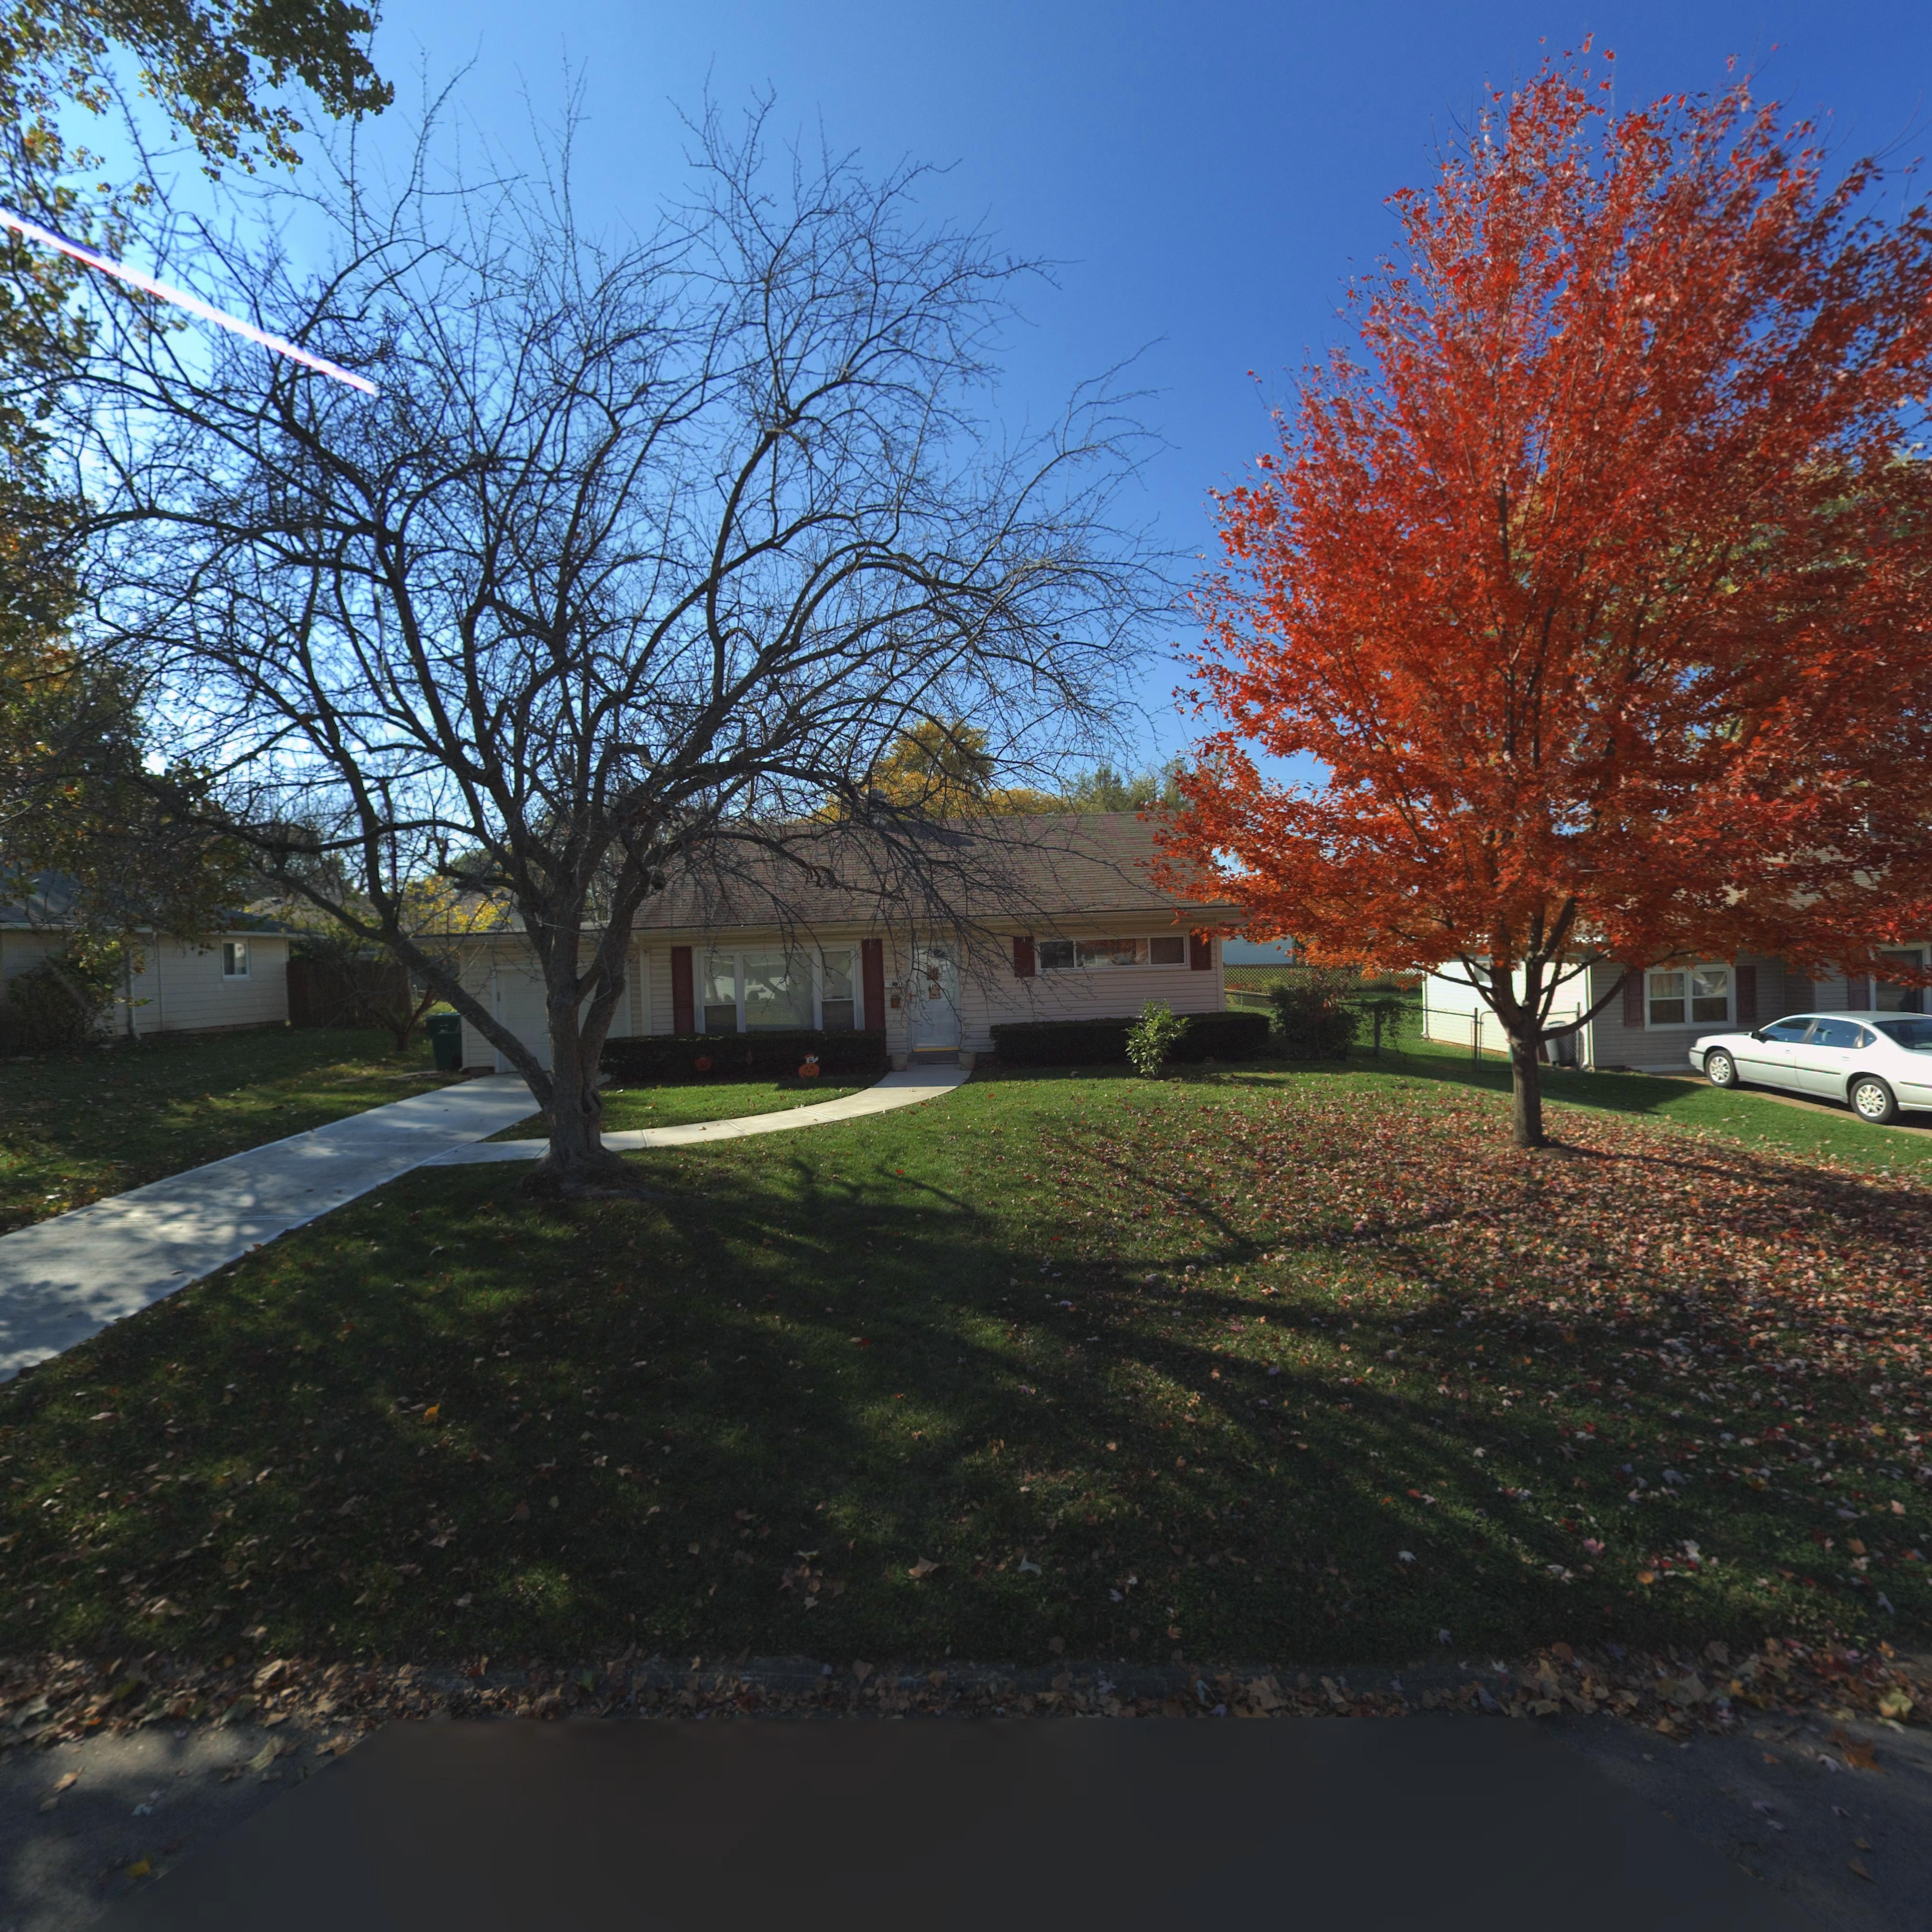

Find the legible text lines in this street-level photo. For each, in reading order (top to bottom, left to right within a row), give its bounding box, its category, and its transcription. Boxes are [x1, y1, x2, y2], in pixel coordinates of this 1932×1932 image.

[884, 966, 901, 973] StreetNumber: 3727